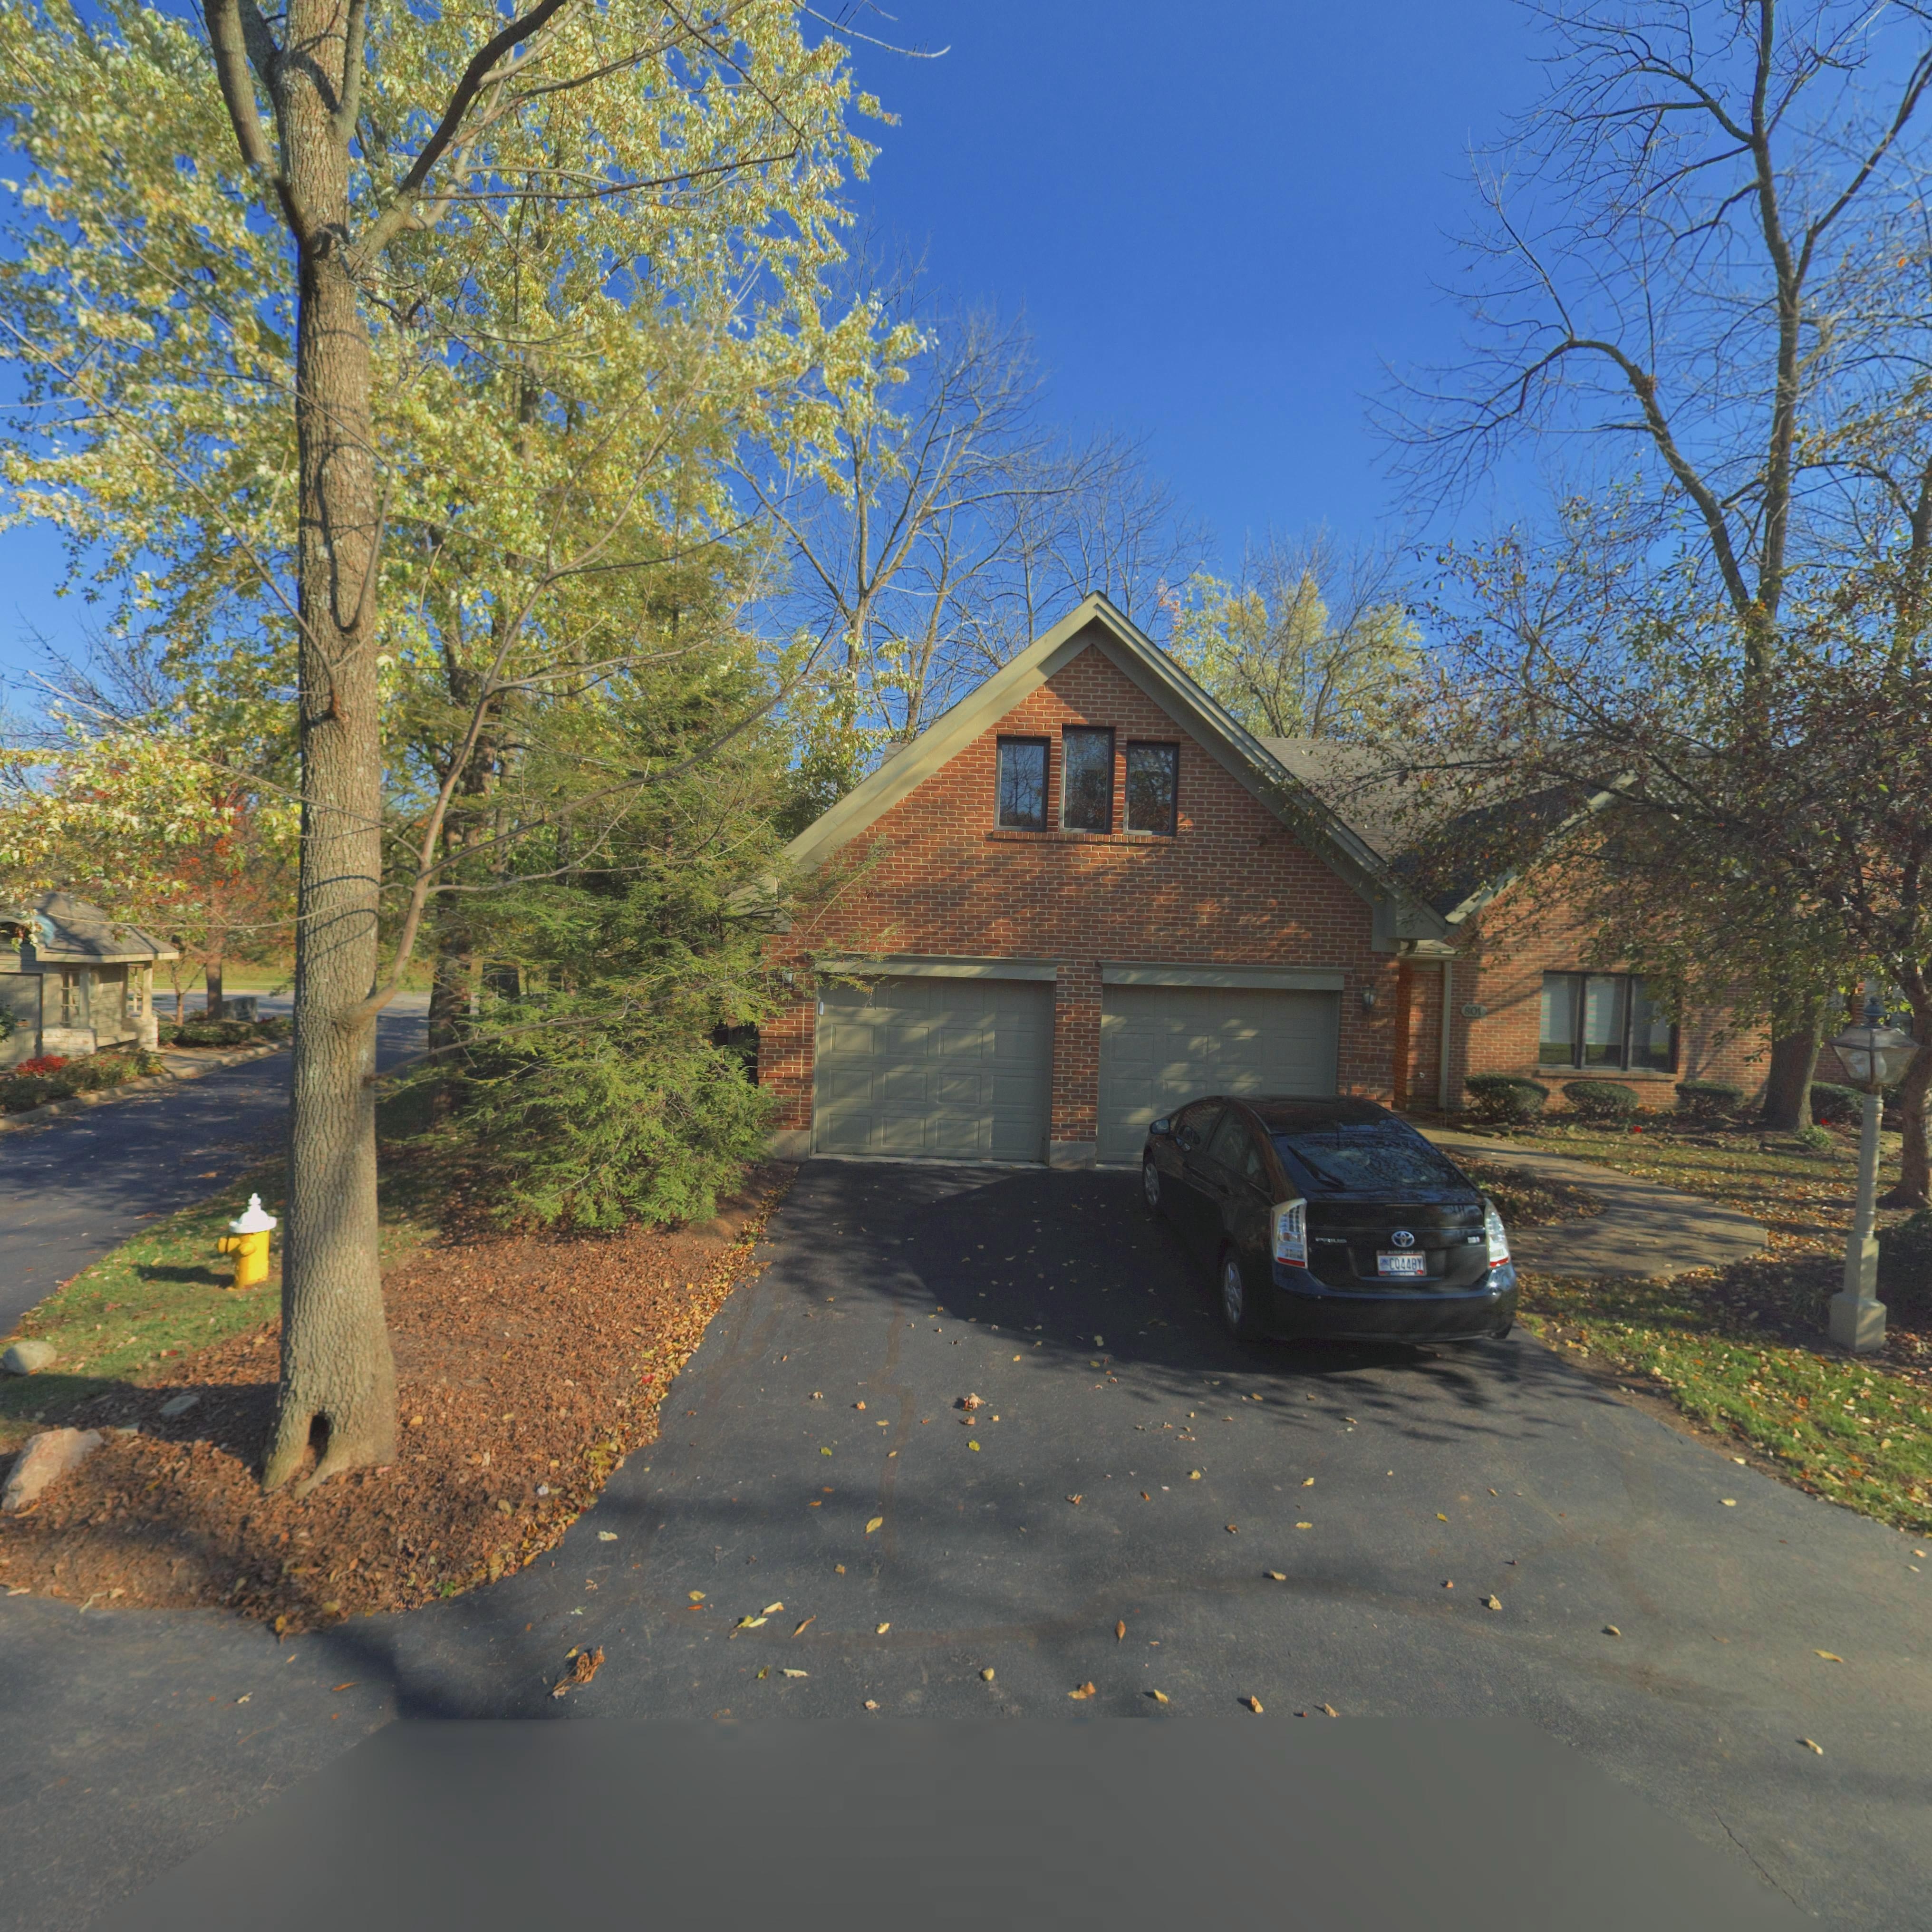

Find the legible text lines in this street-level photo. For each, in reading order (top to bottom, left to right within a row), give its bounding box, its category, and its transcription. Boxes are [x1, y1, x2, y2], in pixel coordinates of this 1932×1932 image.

[1463, 1005, 1481, 1016] StreetNumber: 801